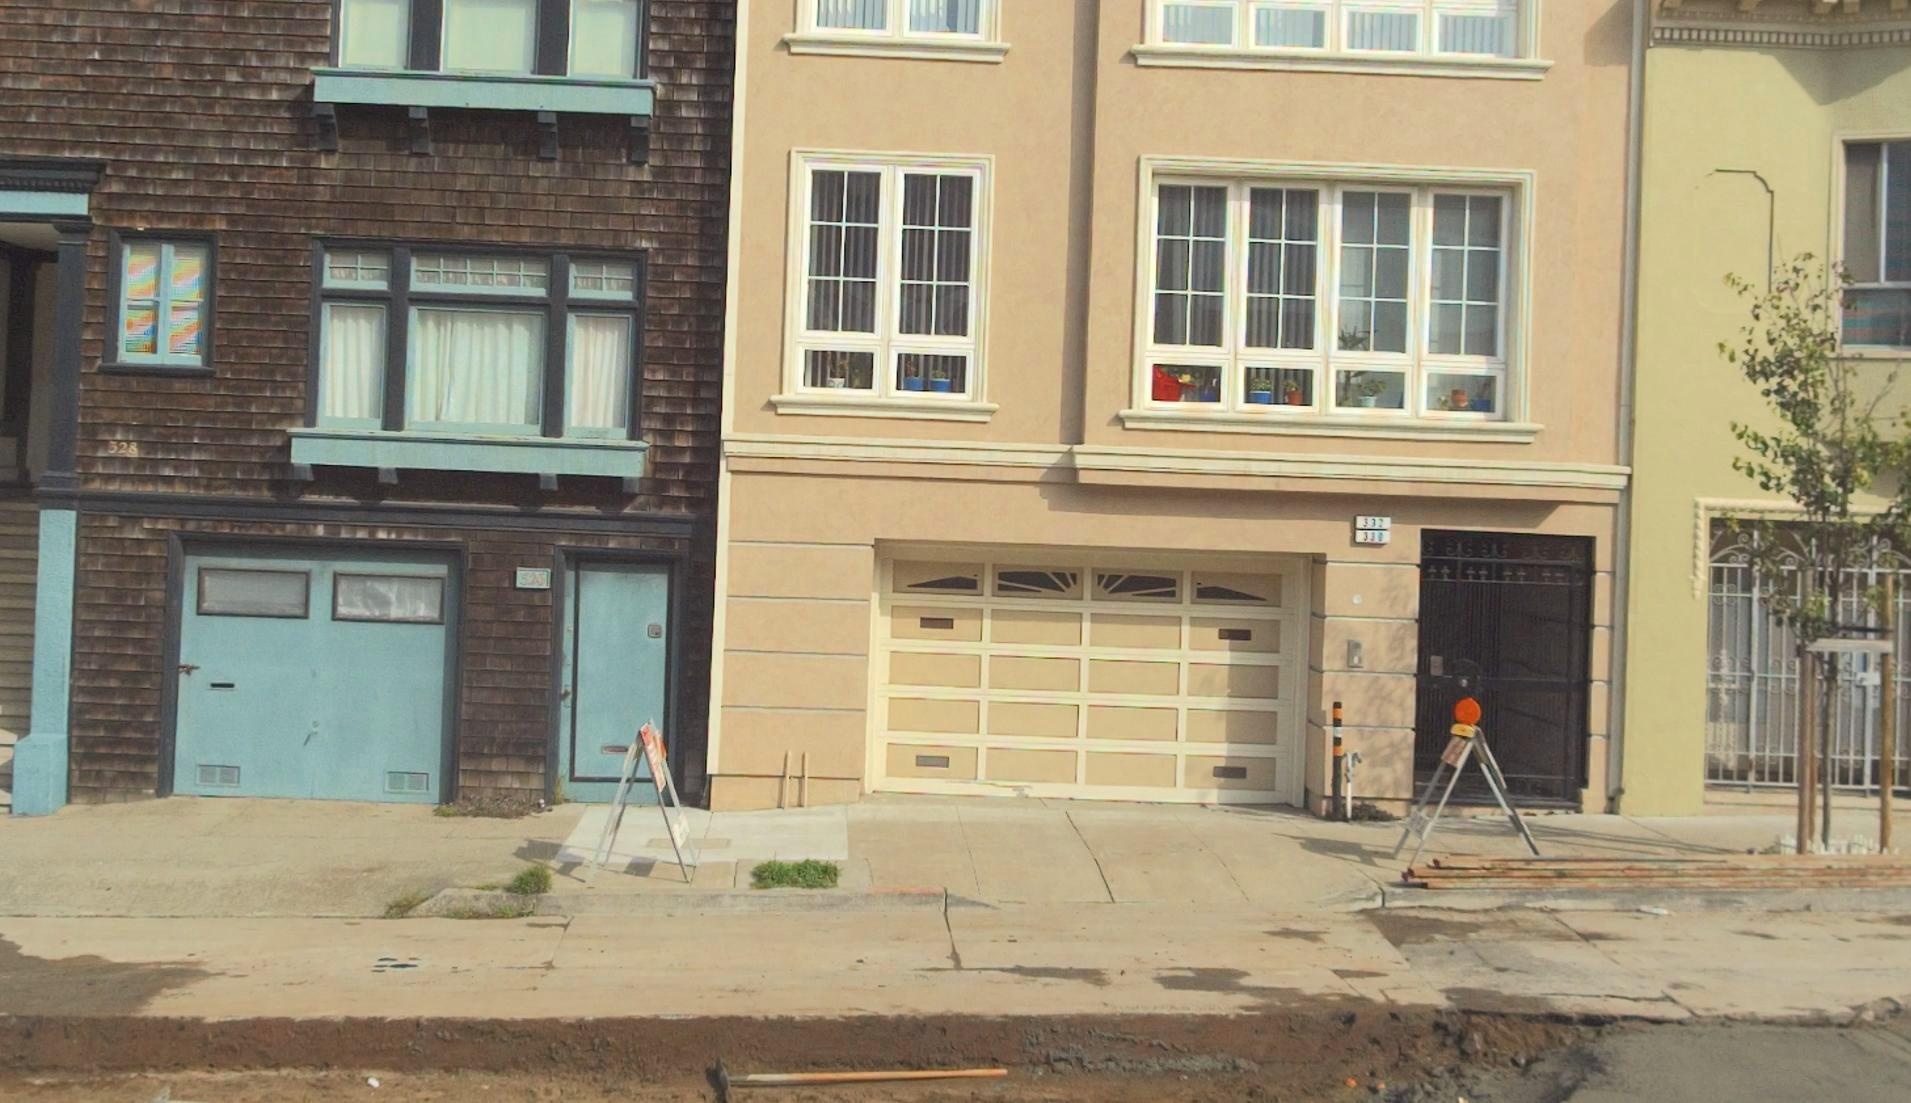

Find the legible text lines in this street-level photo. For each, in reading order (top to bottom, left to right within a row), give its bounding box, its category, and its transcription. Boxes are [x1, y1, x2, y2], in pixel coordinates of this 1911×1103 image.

[105, 439, 140, 457] StreetNumber: 528
[1362, 516, 1385, 529] StreetNumber: 332
[1361, 530, 1384, 543] StreetNumber: 330
[519, 571, 547, 587] StreetNumber: 52*